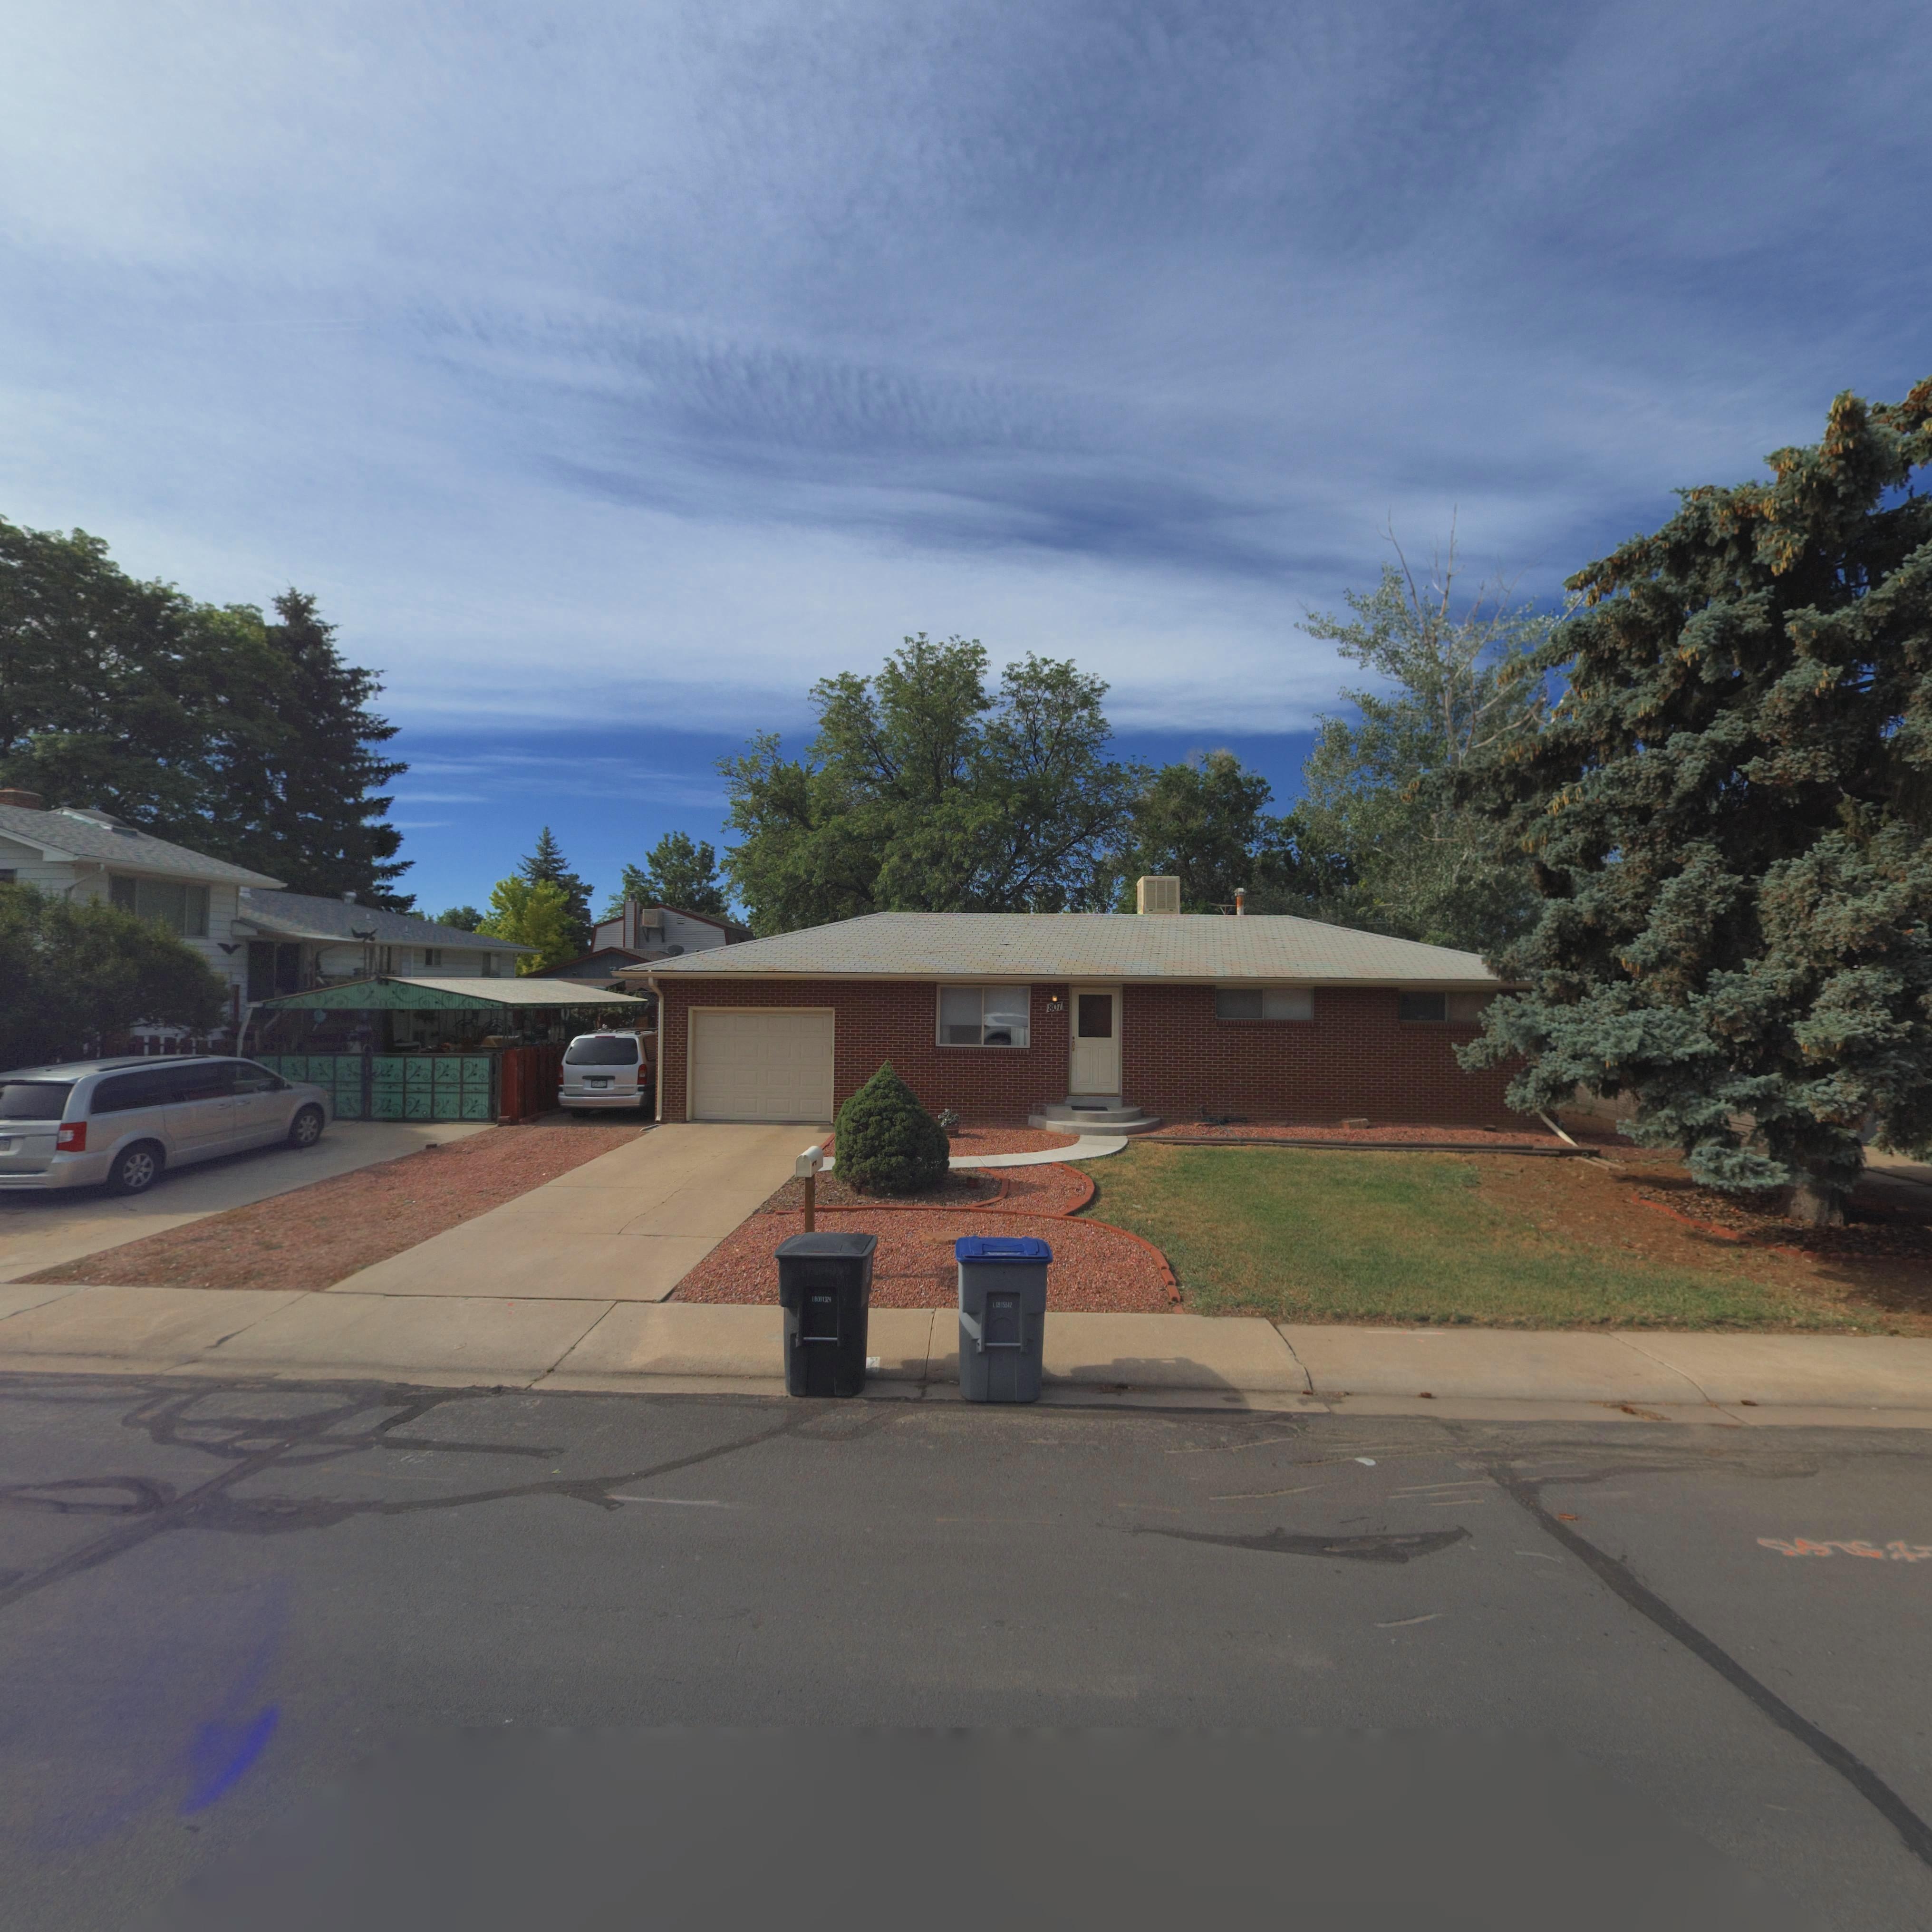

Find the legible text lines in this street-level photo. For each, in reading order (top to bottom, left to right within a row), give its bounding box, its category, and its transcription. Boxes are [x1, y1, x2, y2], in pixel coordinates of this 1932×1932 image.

[1047, 1001, 1063, 1012] StreetNumber: 807
[868, 1357, 879, 1367] StreetNumber: 7